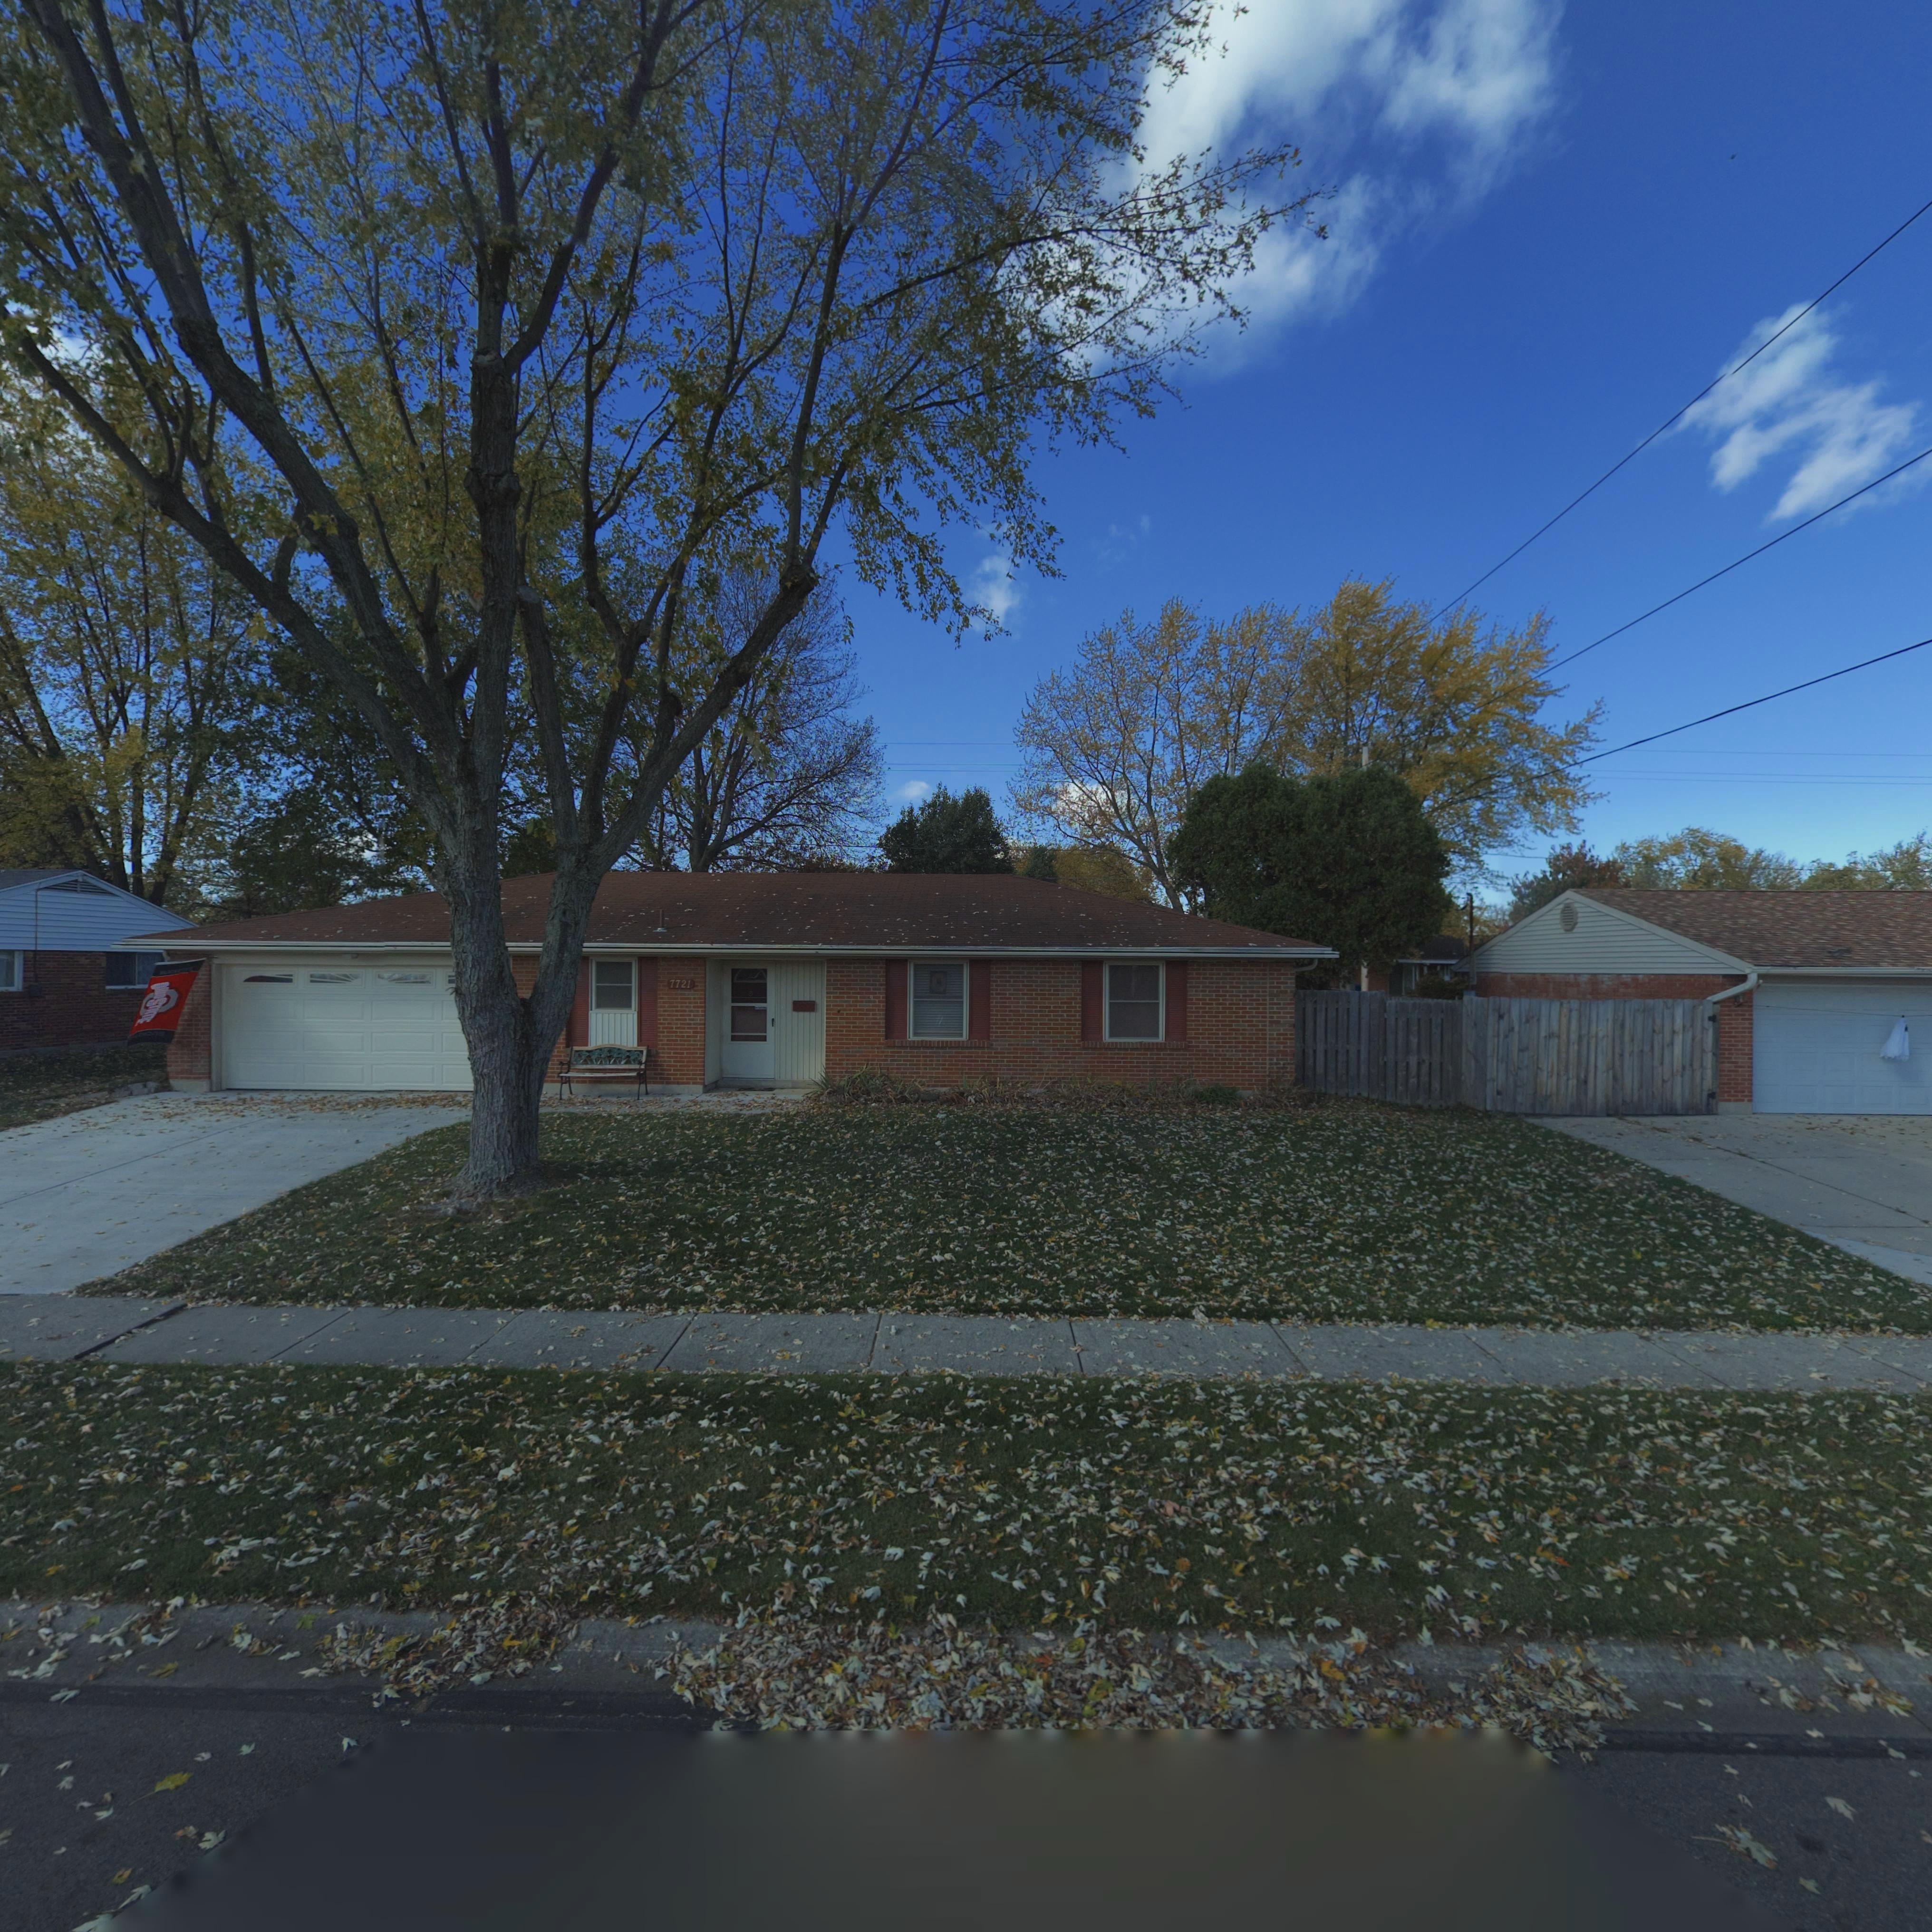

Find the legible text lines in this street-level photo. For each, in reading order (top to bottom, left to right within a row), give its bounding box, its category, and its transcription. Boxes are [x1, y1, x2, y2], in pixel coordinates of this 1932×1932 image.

[668, 978, 691, 989] StreetNumber: 7721